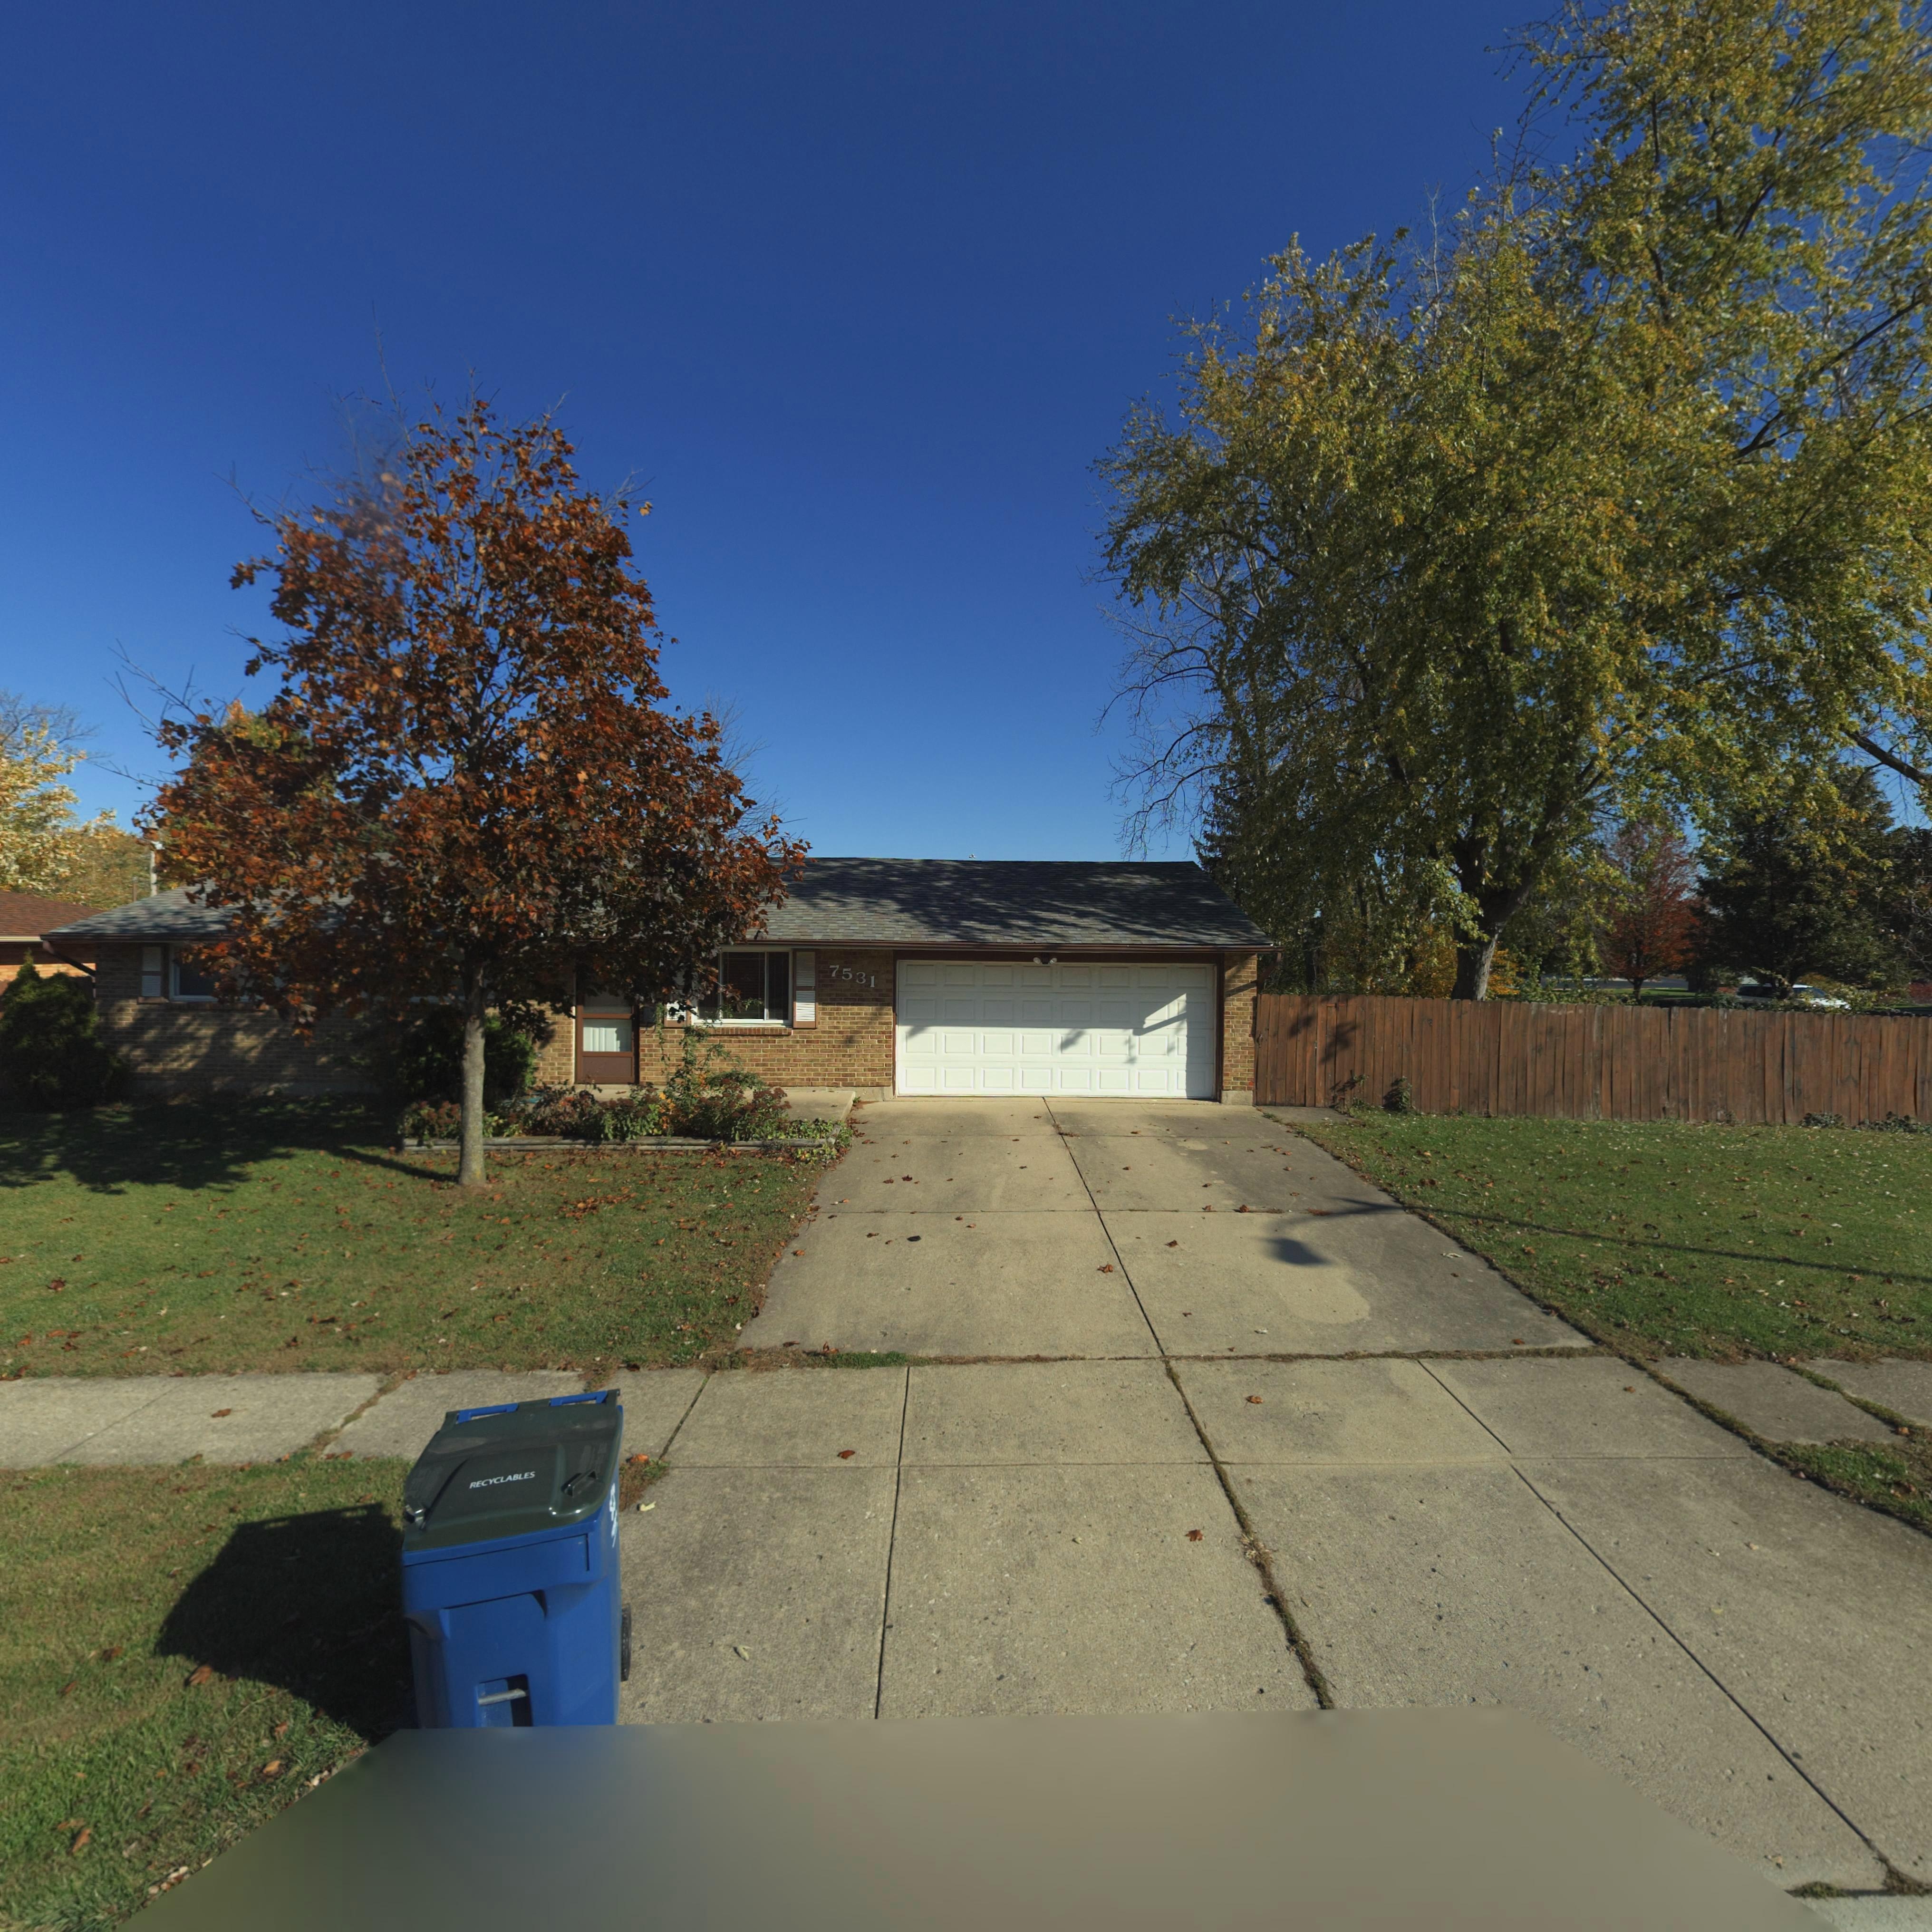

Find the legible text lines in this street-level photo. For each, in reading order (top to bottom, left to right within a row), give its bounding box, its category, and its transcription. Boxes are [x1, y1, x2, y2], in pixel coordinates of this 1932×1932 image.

[828, 964, 876, 989] StreetNumber: 7531